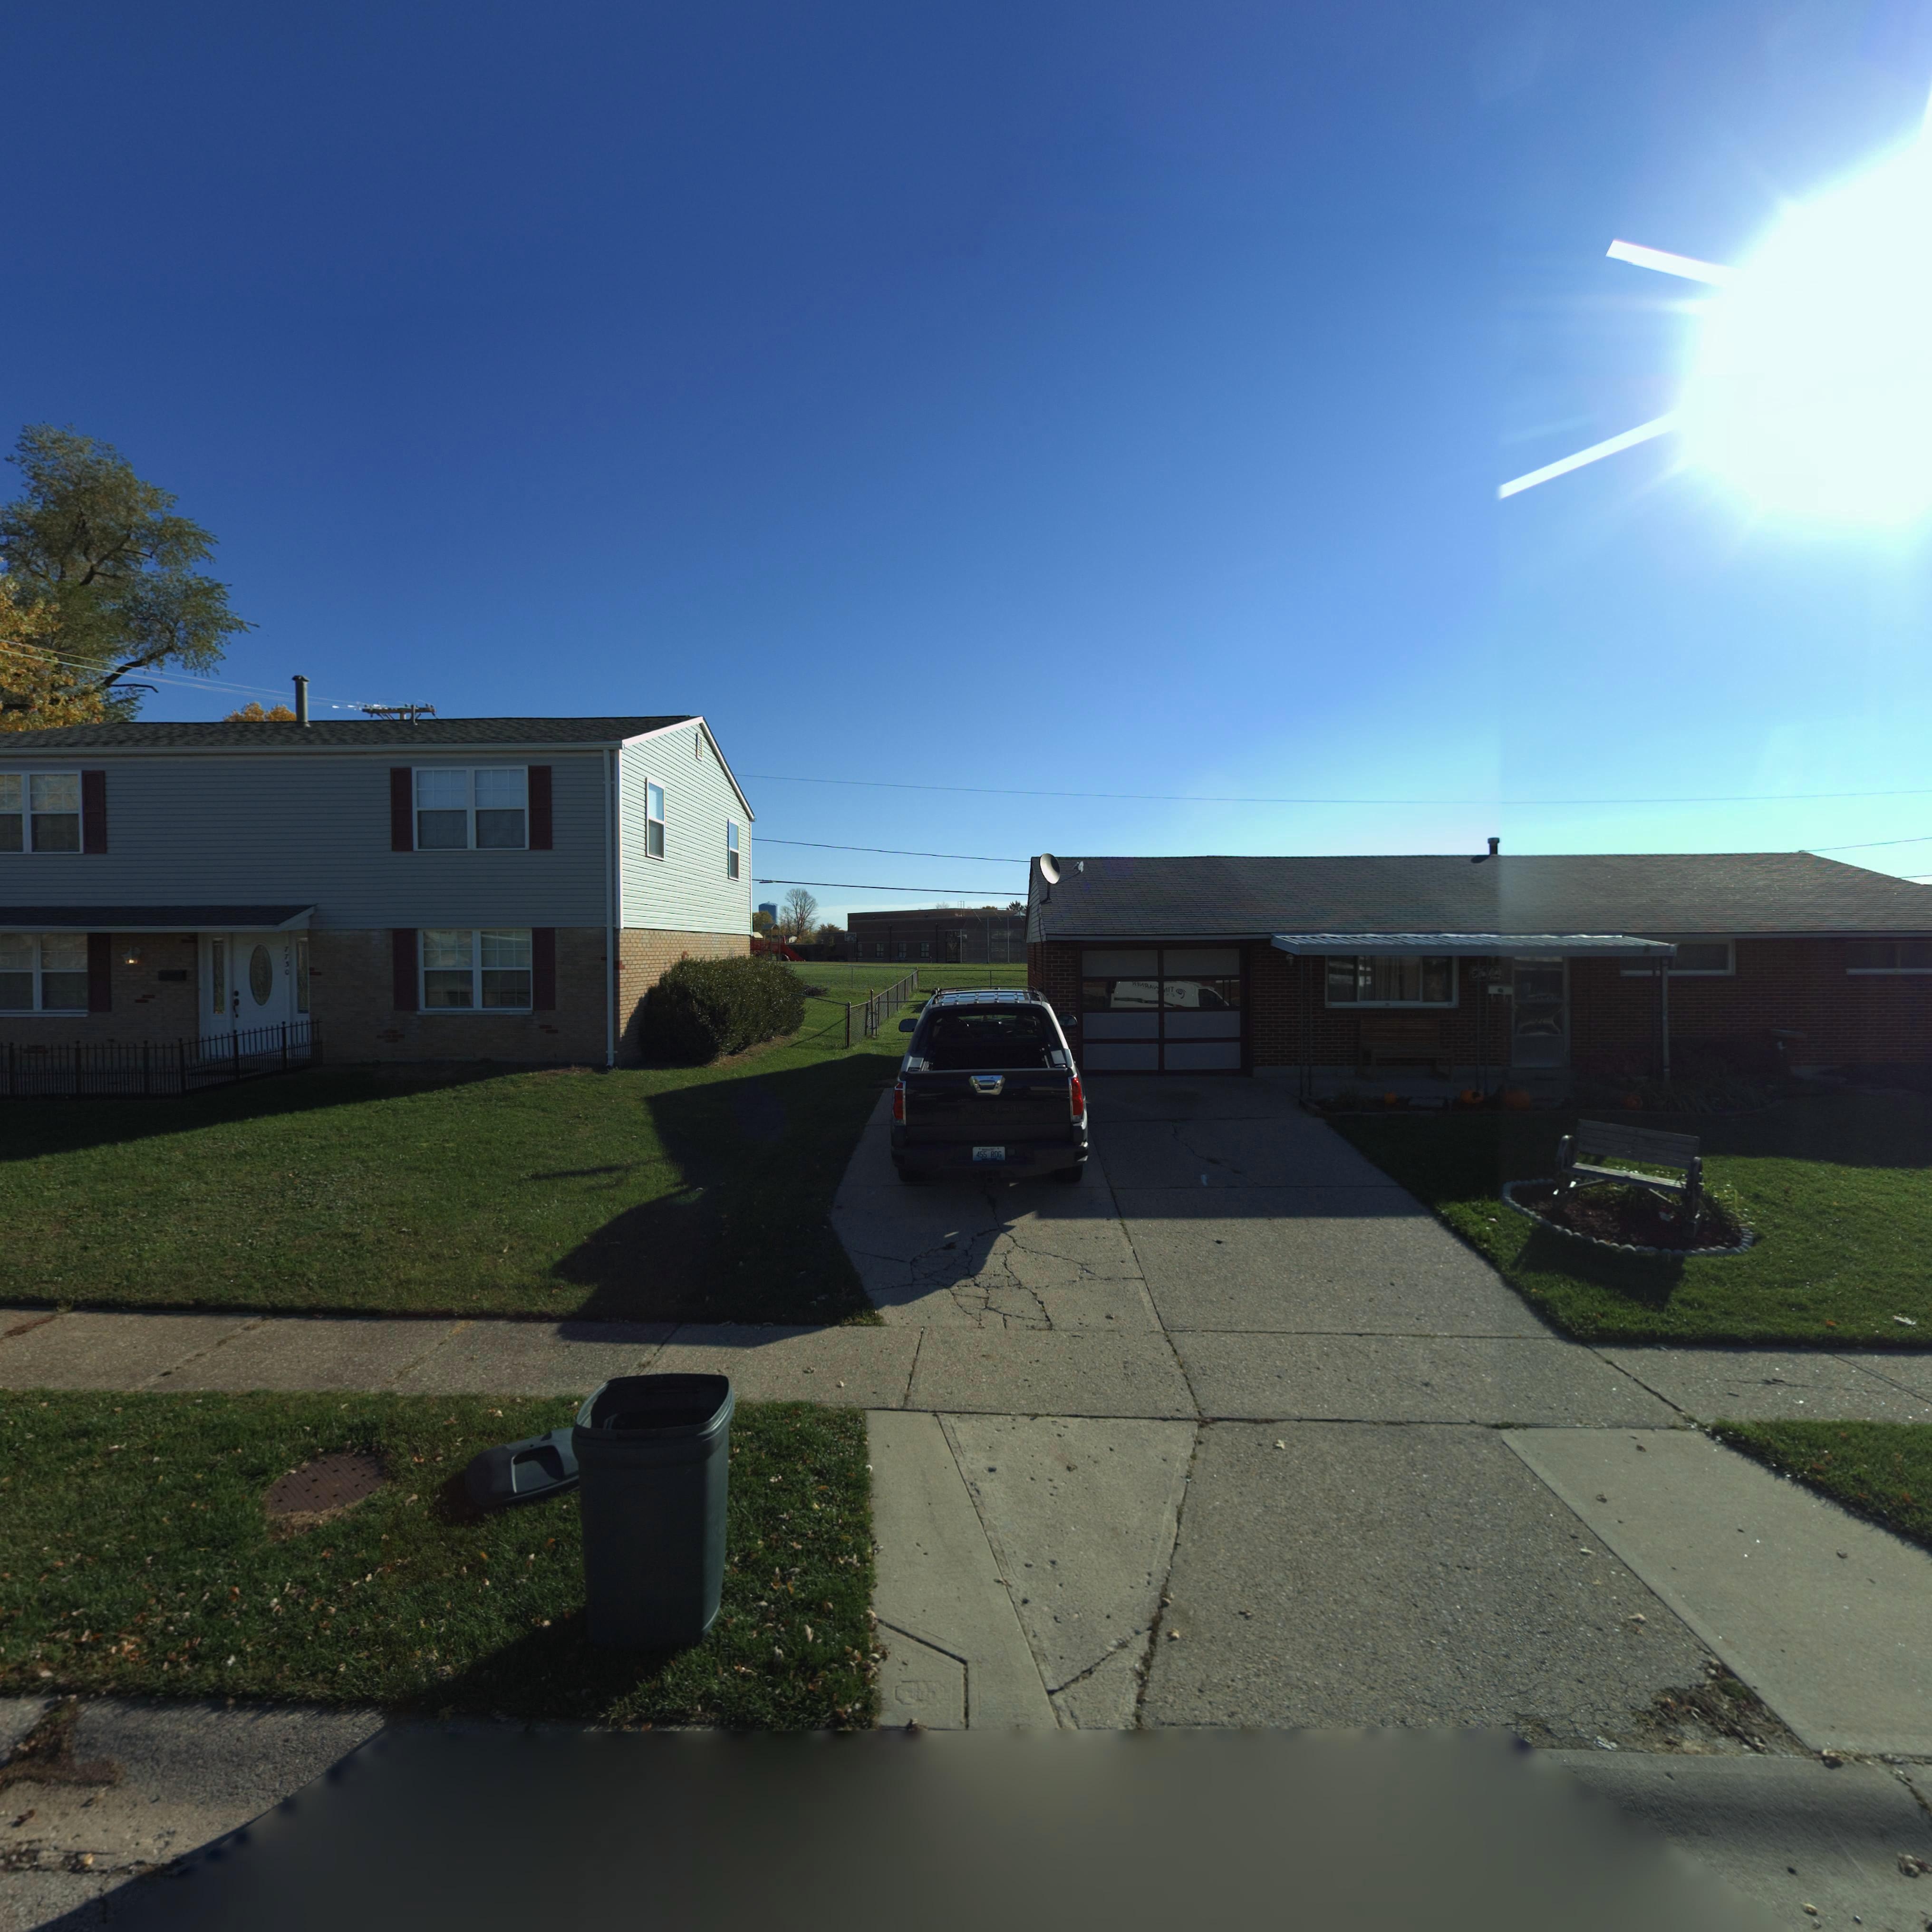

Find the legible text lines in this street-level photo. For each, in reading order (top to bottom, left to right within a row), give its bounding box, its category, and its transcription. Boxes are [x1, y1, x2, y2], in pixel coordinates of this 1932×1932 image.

[283, 945, 290, 976] StreetNumber: 7730
[1488, 976, 1501, 980] StreetNumber: 7*4